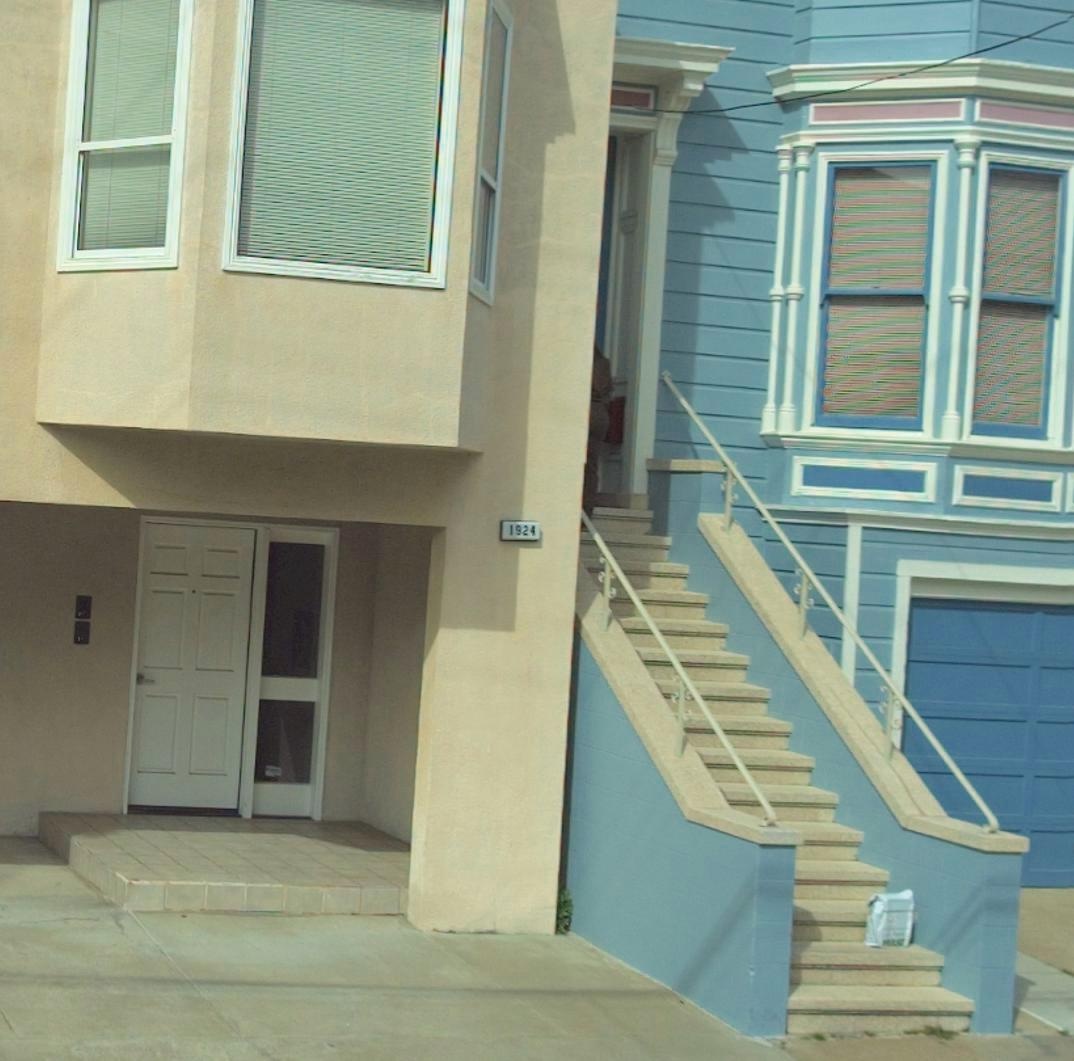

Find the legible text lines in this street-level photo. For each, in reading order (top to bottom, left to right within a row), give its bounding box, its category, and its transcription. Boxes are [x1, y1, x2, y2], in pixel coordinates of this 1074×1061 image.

[507, 522, 538, 538] StreetNumber: 1924